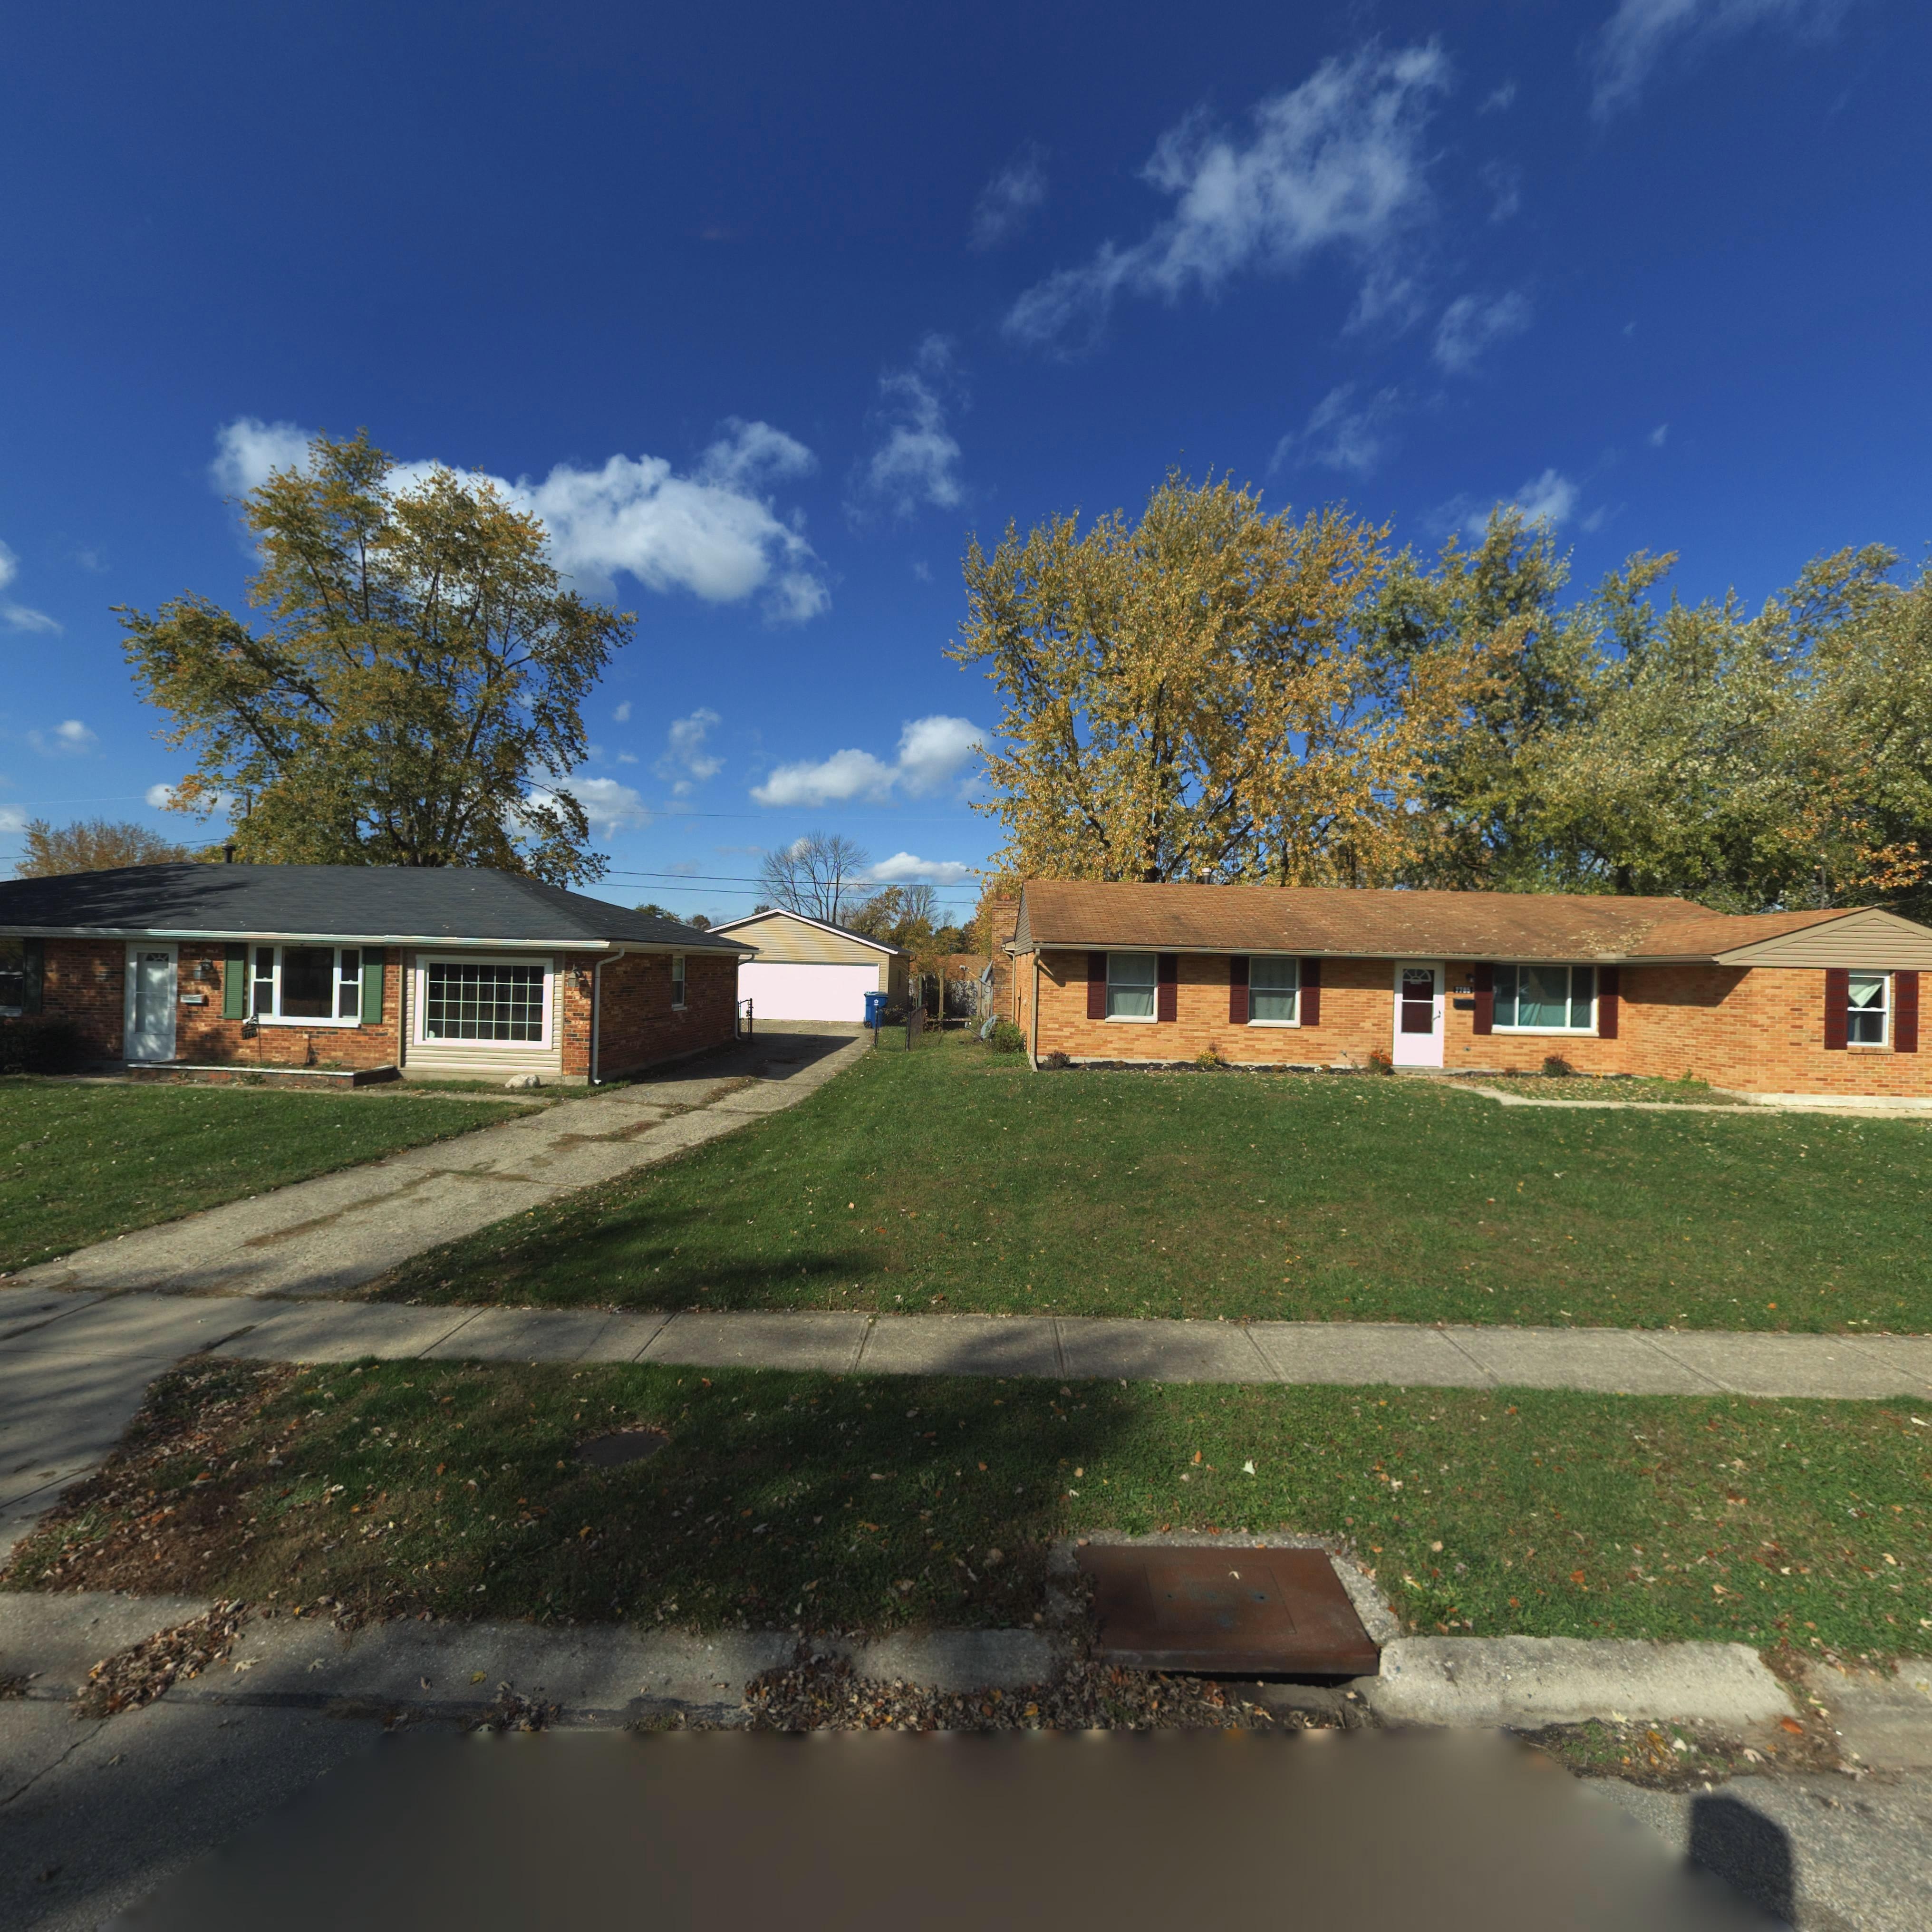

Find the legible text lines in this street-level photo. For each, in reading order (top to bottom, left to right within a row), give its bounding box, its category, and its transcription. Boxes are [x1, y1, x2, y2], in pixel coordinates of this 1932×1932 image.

[1455, 986, 1471, 994] StreetNumber: 7785
[242, 1029, 256, 1040] StreetNumber: 7779